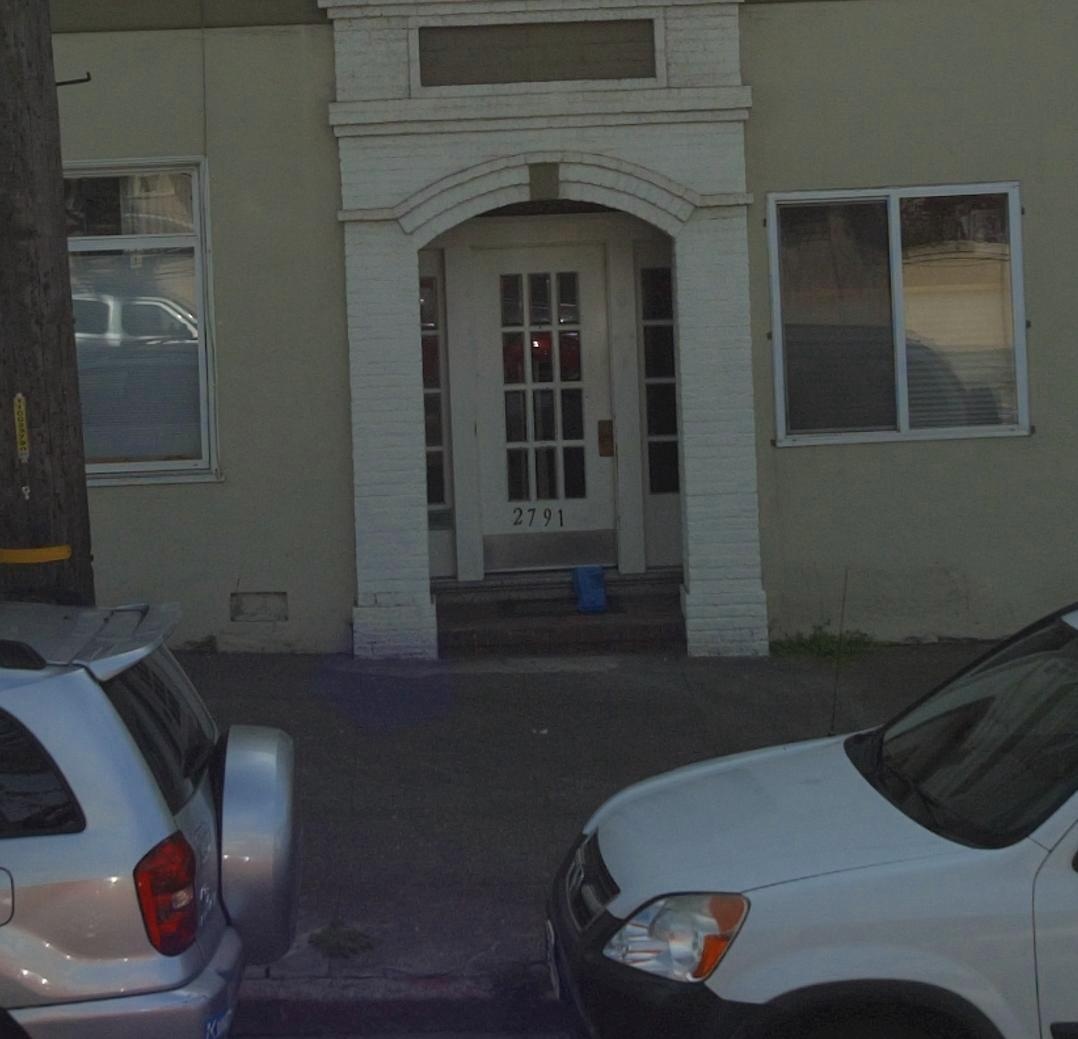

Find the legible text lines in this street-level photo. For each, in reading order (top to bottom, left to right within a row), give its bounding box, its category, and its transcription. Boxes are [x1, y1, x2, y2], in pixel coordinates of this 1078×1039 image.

[14, 396, 30, 454] None: 1100**7*0
[511, 505, 566, 529] StreetNumber: 2791